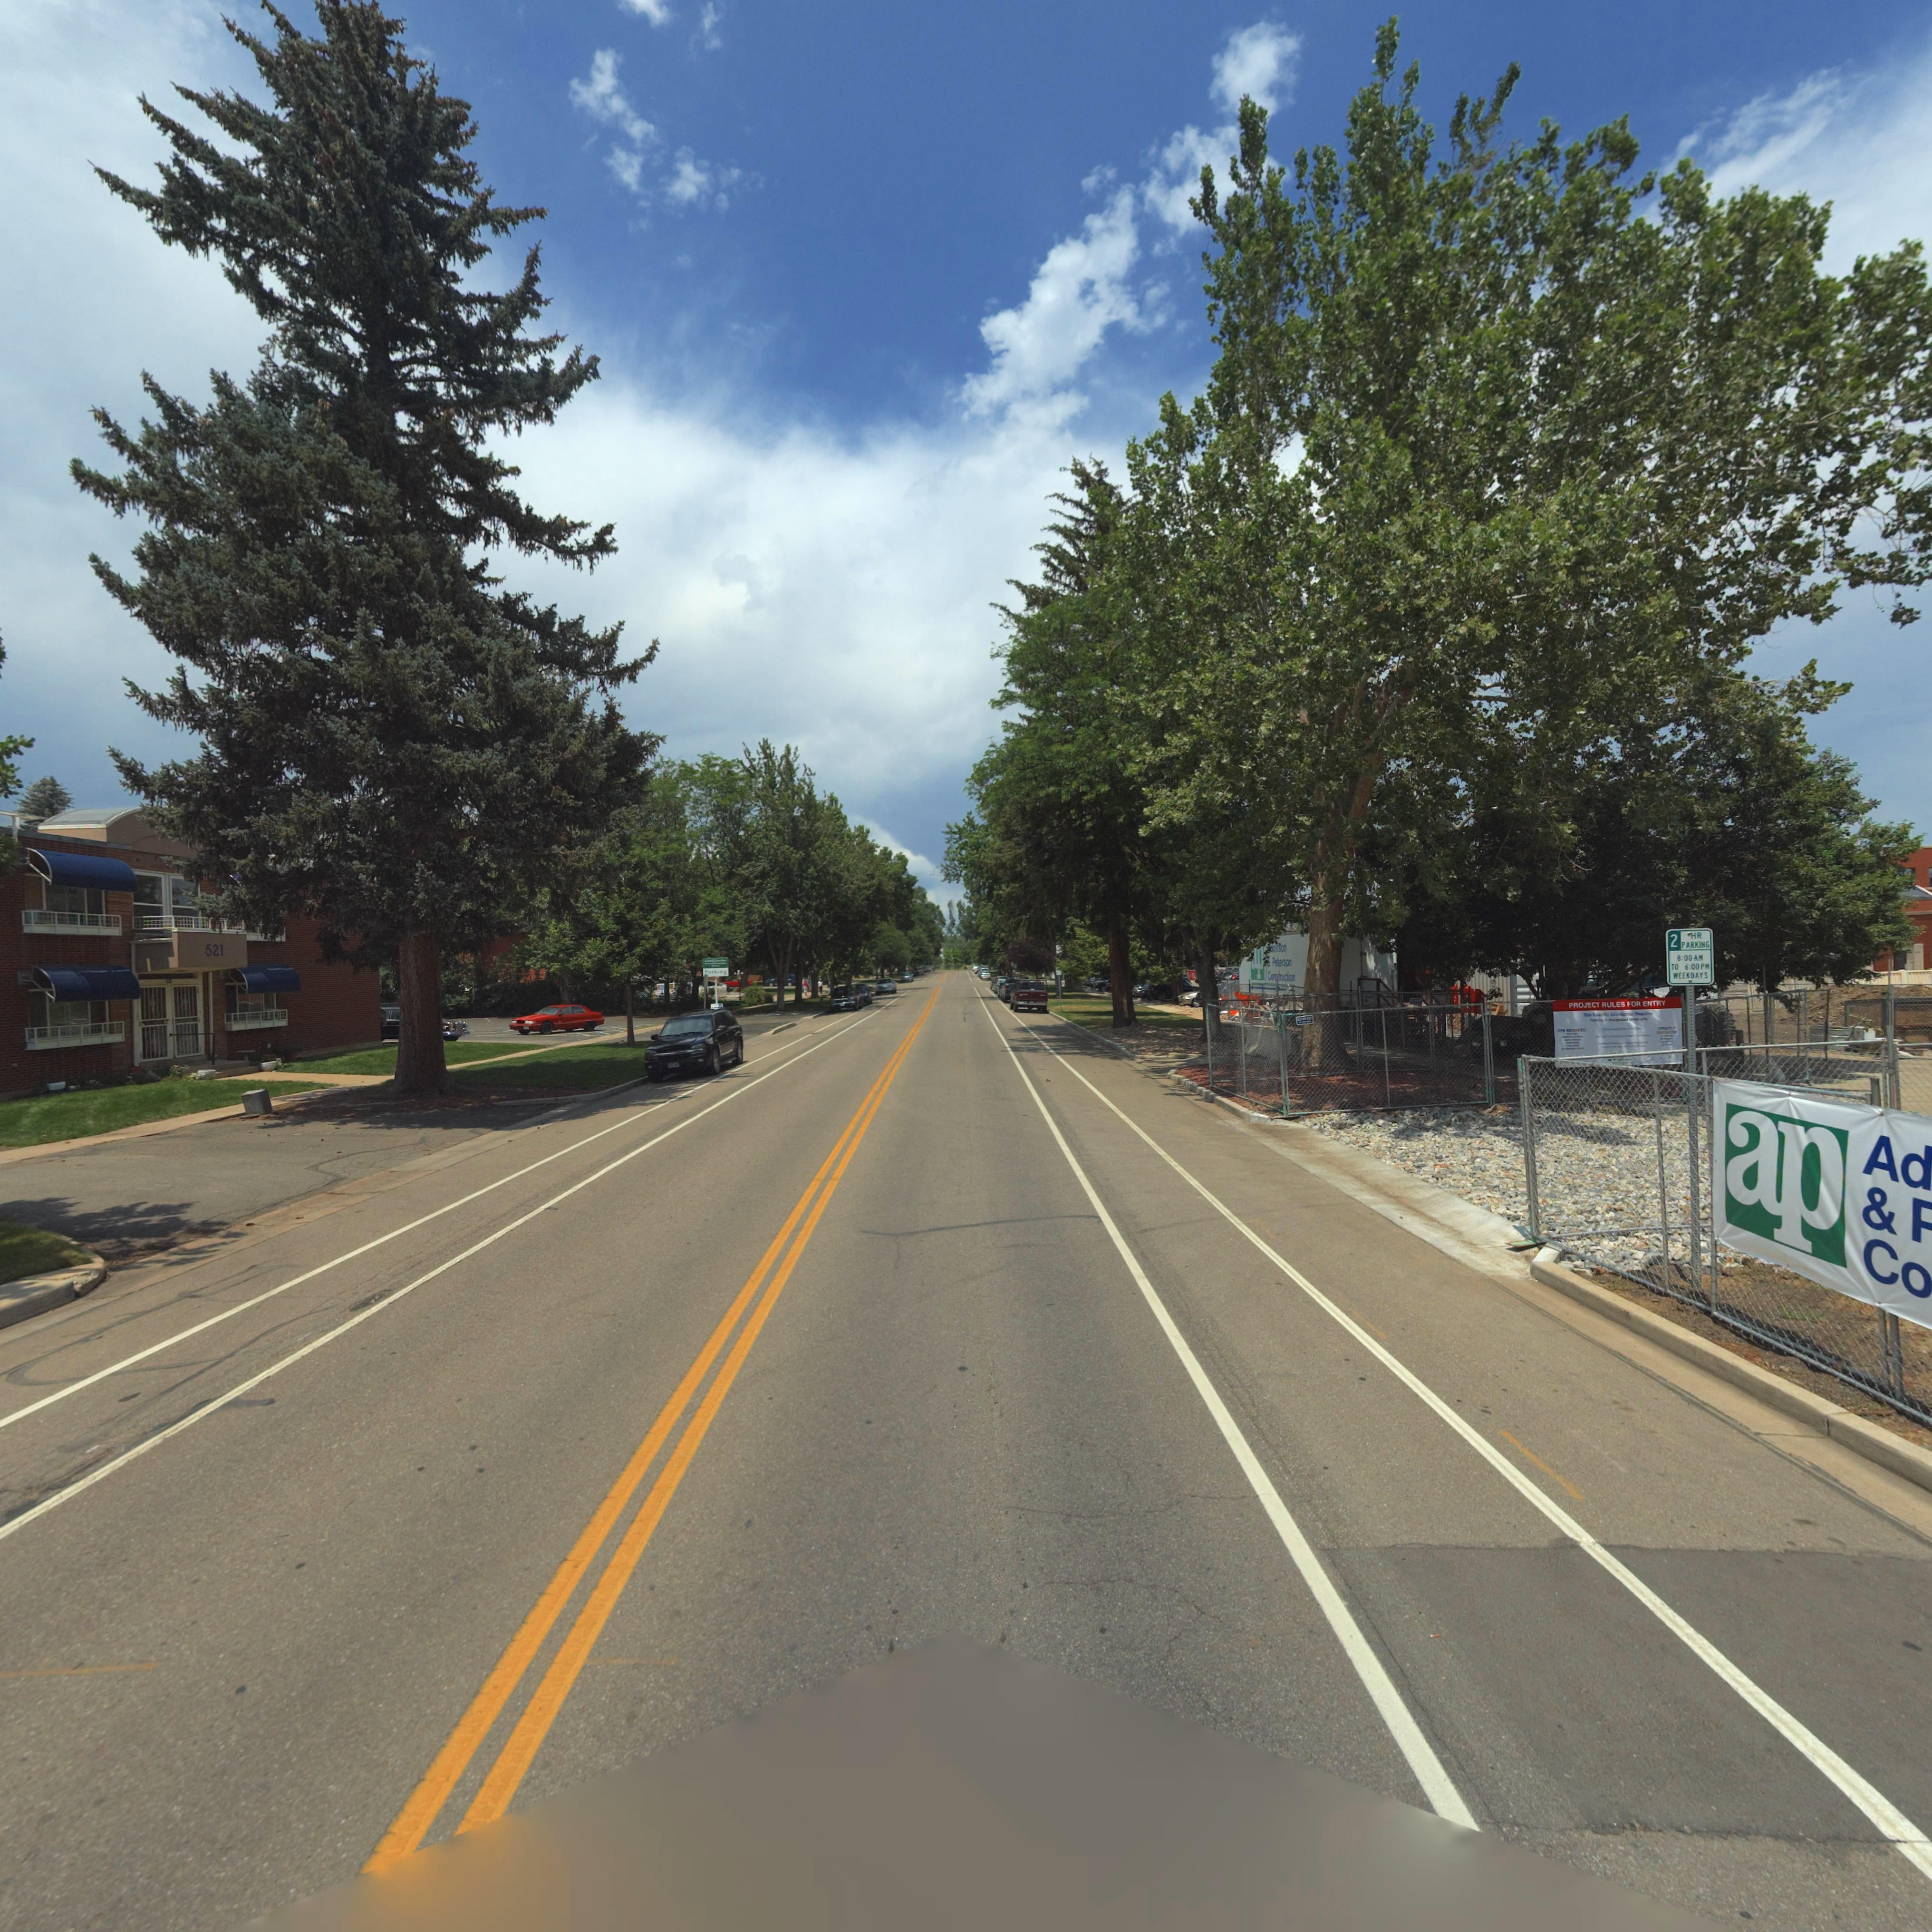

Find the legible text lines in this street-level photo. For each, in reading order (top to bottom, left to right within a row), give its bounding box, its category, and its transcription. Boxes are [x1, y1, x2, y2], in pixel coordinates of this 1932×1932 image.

[205, 943, 223, 956] StreetNumber: 521